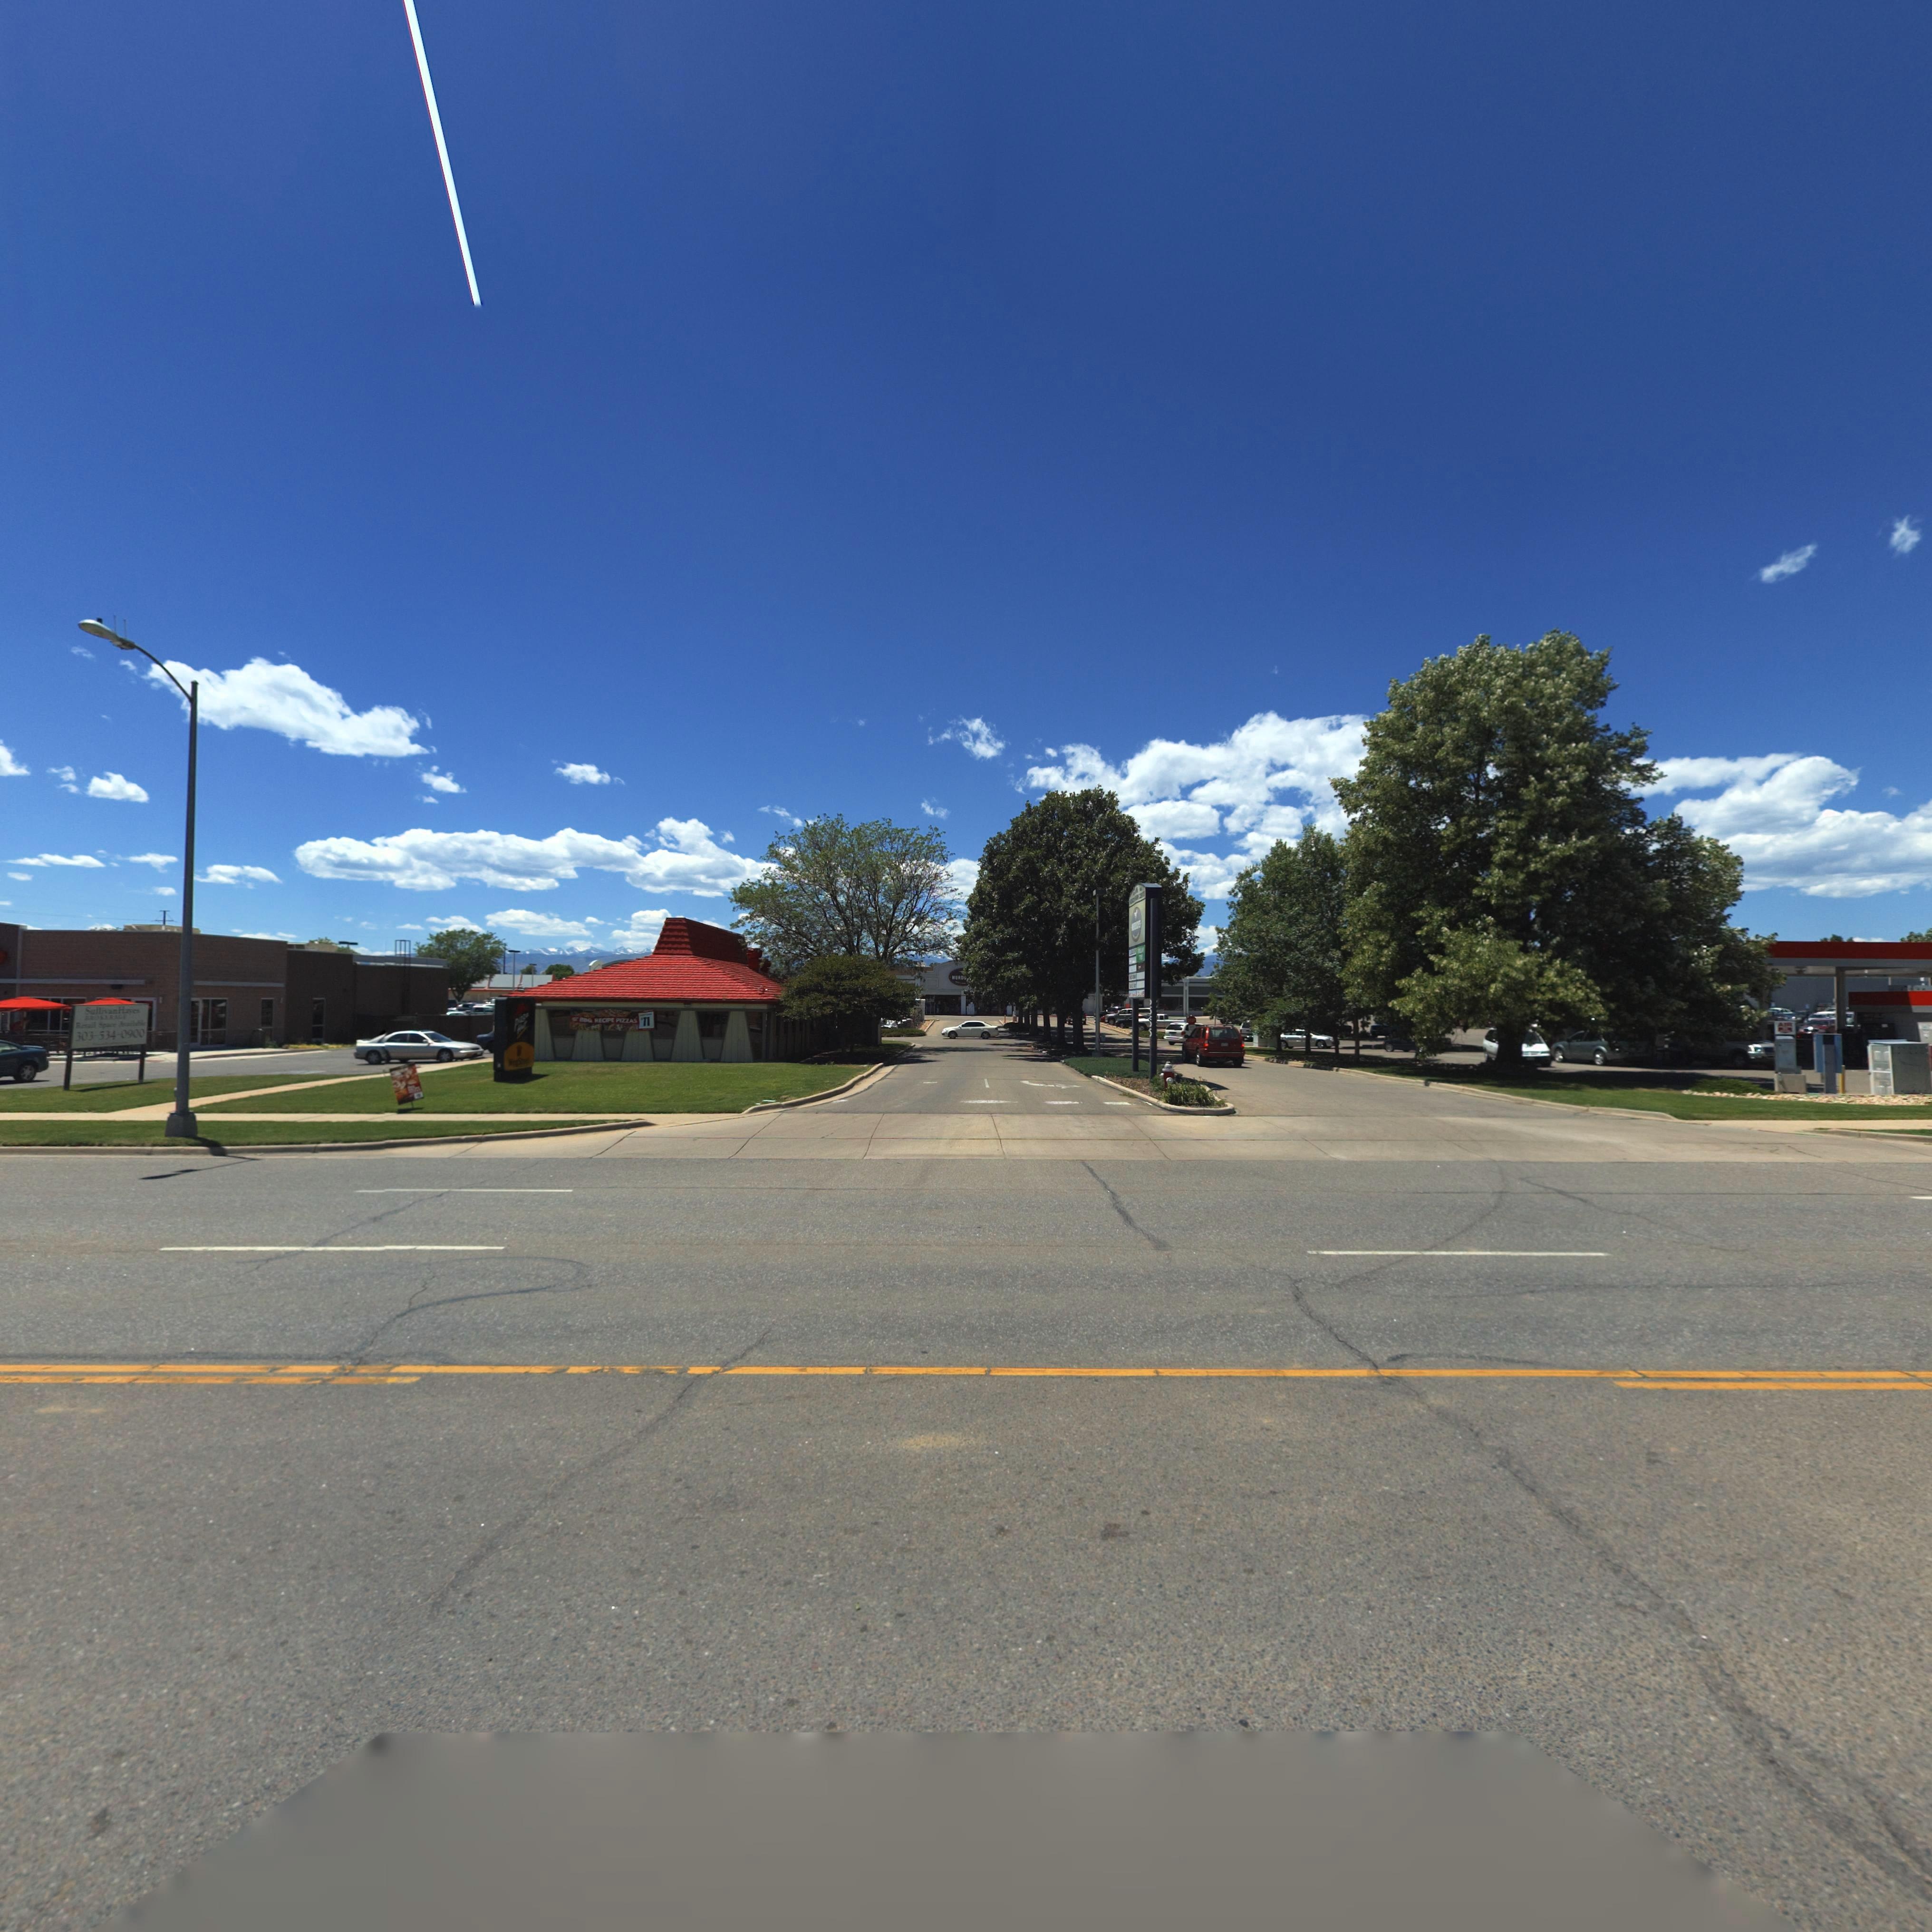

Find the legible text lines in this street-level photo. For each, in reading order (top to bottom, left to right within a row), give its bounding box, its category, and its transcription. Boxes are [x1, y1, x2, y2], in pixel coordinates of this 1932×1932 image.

[1131, 919, 1140, 931] BusinessName: M******'S
[952, 975, 964, 980] BusinessName: MURD
[512, 1011, 530, 1032] BusinessName: pizza
[517, 1020, 528, 1036] BusinessName: Hut
[506, 1056, 531, 1068] BusinessName: WingStreet